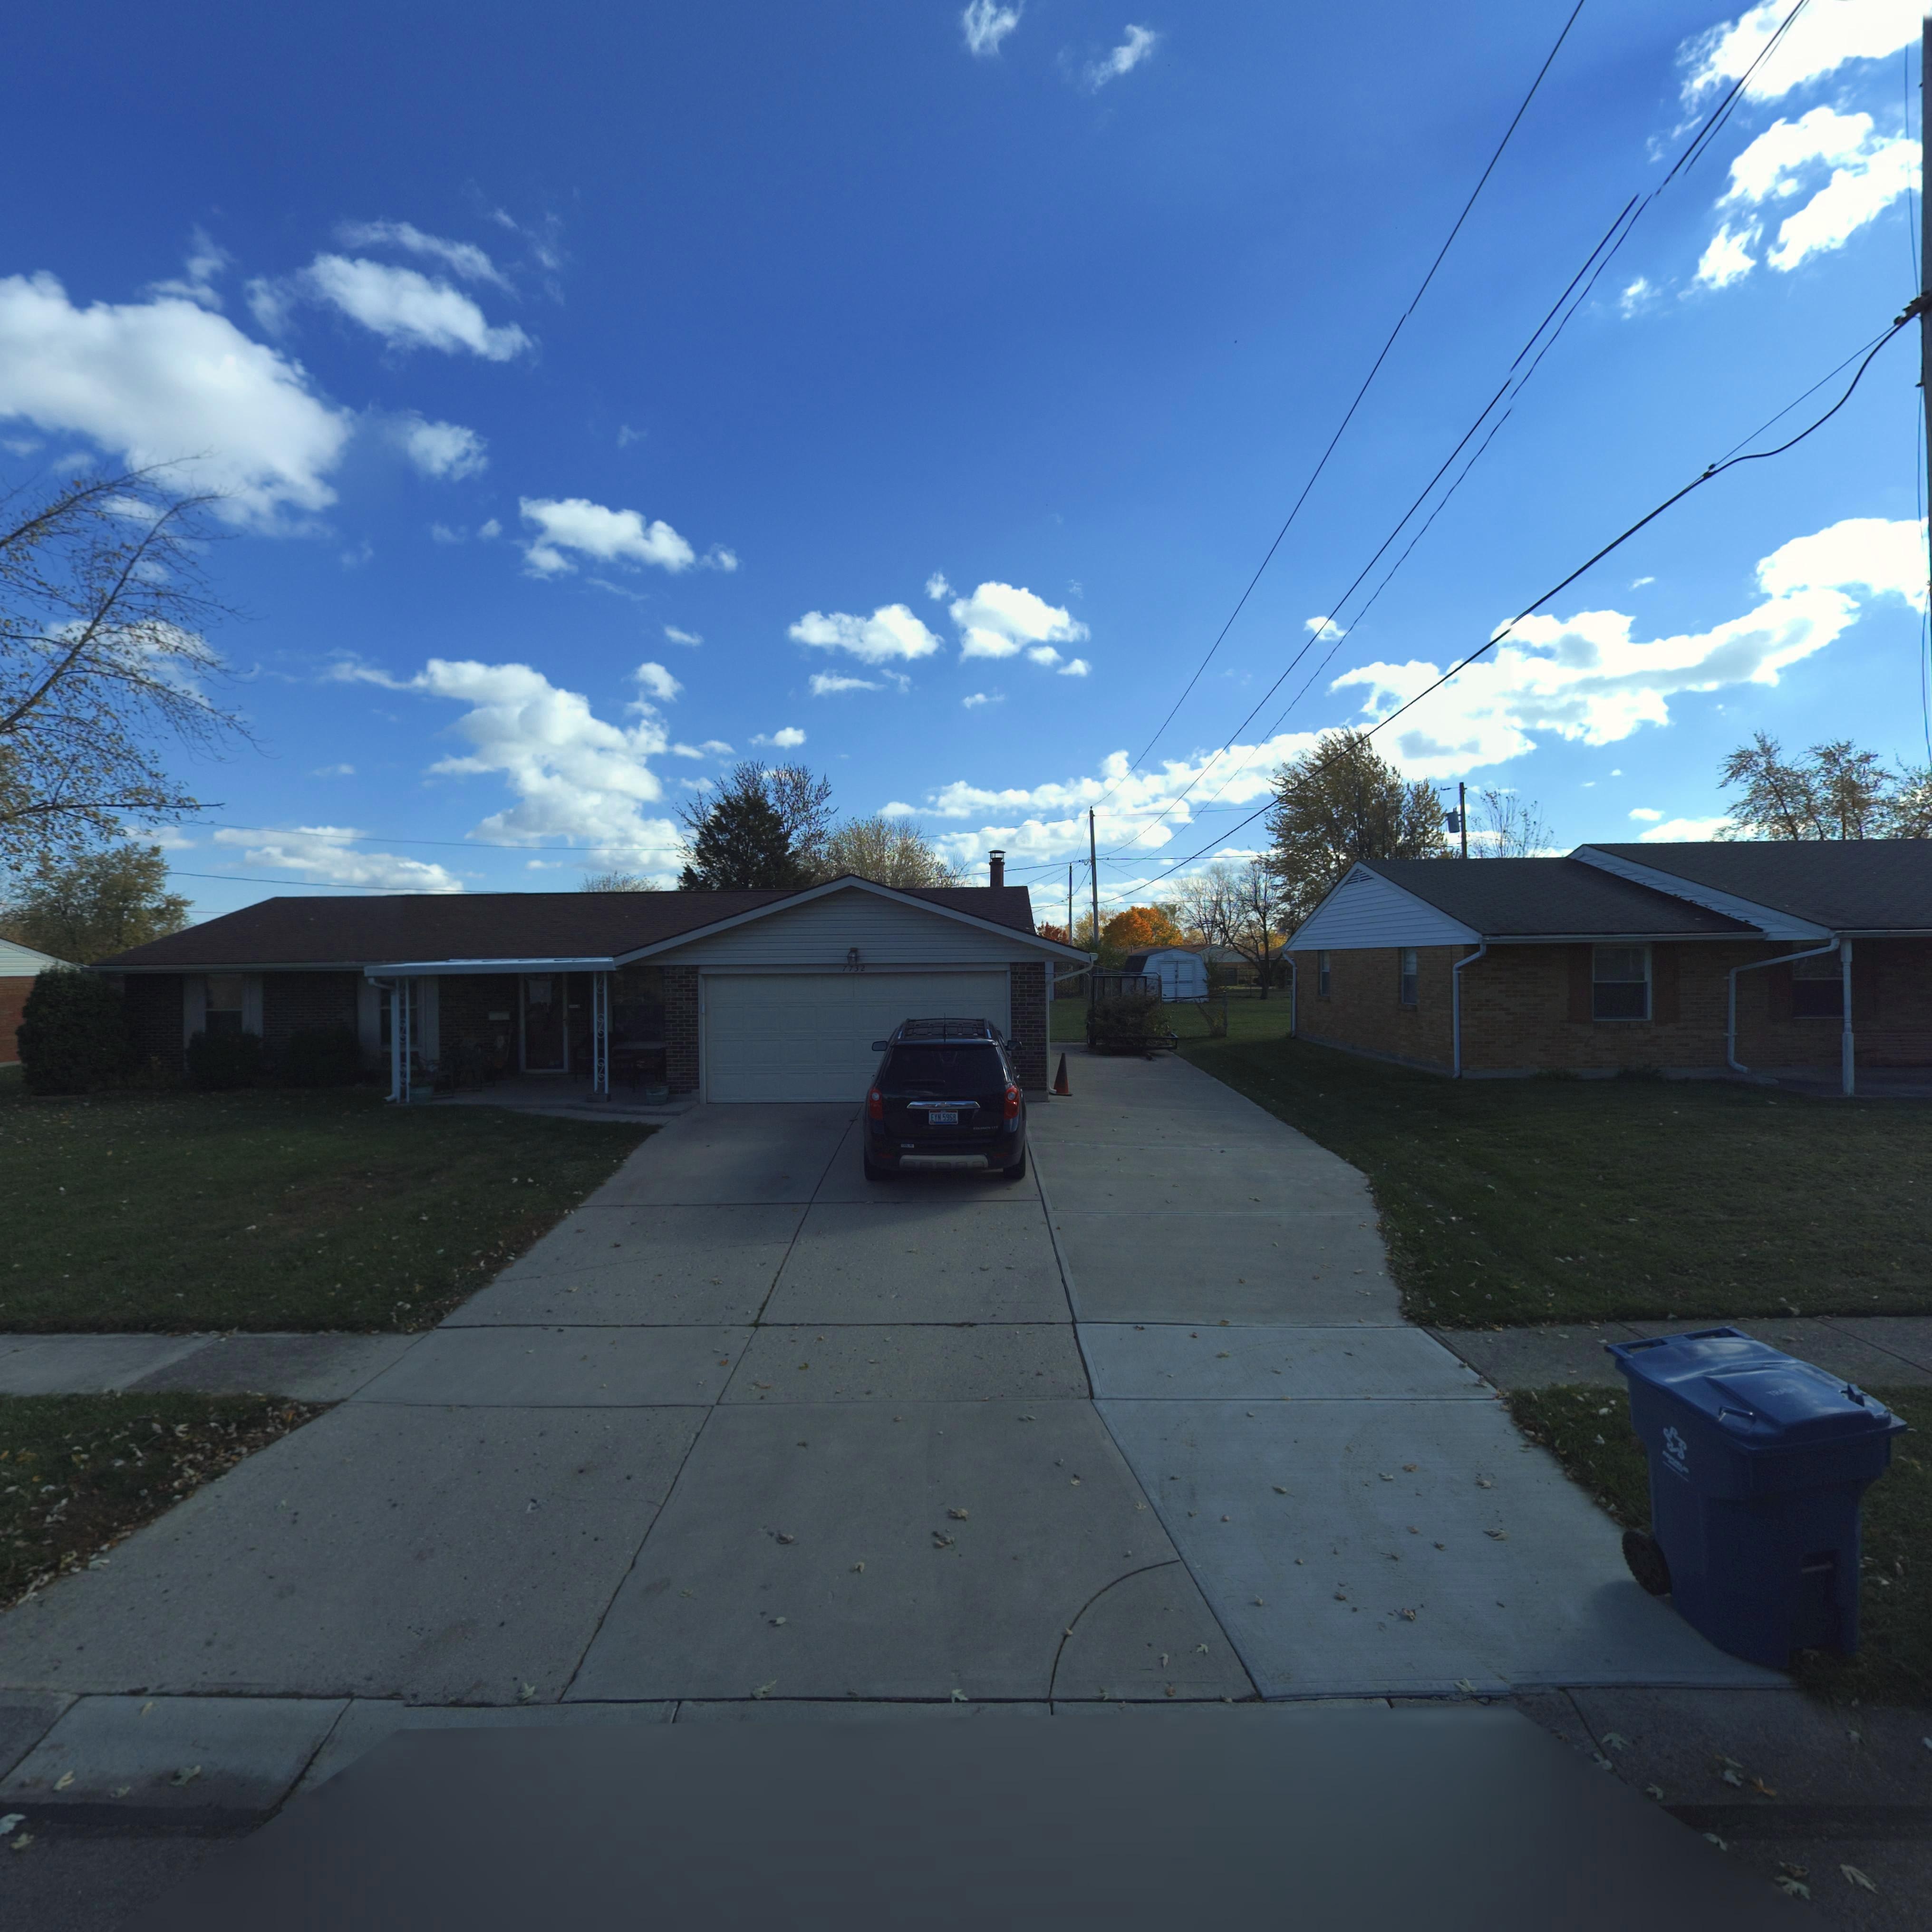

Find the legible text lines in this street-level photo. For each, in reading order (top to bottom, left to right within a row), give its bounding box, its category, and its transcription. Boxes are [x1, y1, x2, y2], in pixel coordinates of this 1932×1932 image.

[841, 964, 866, 973] StreetNumber: 7732